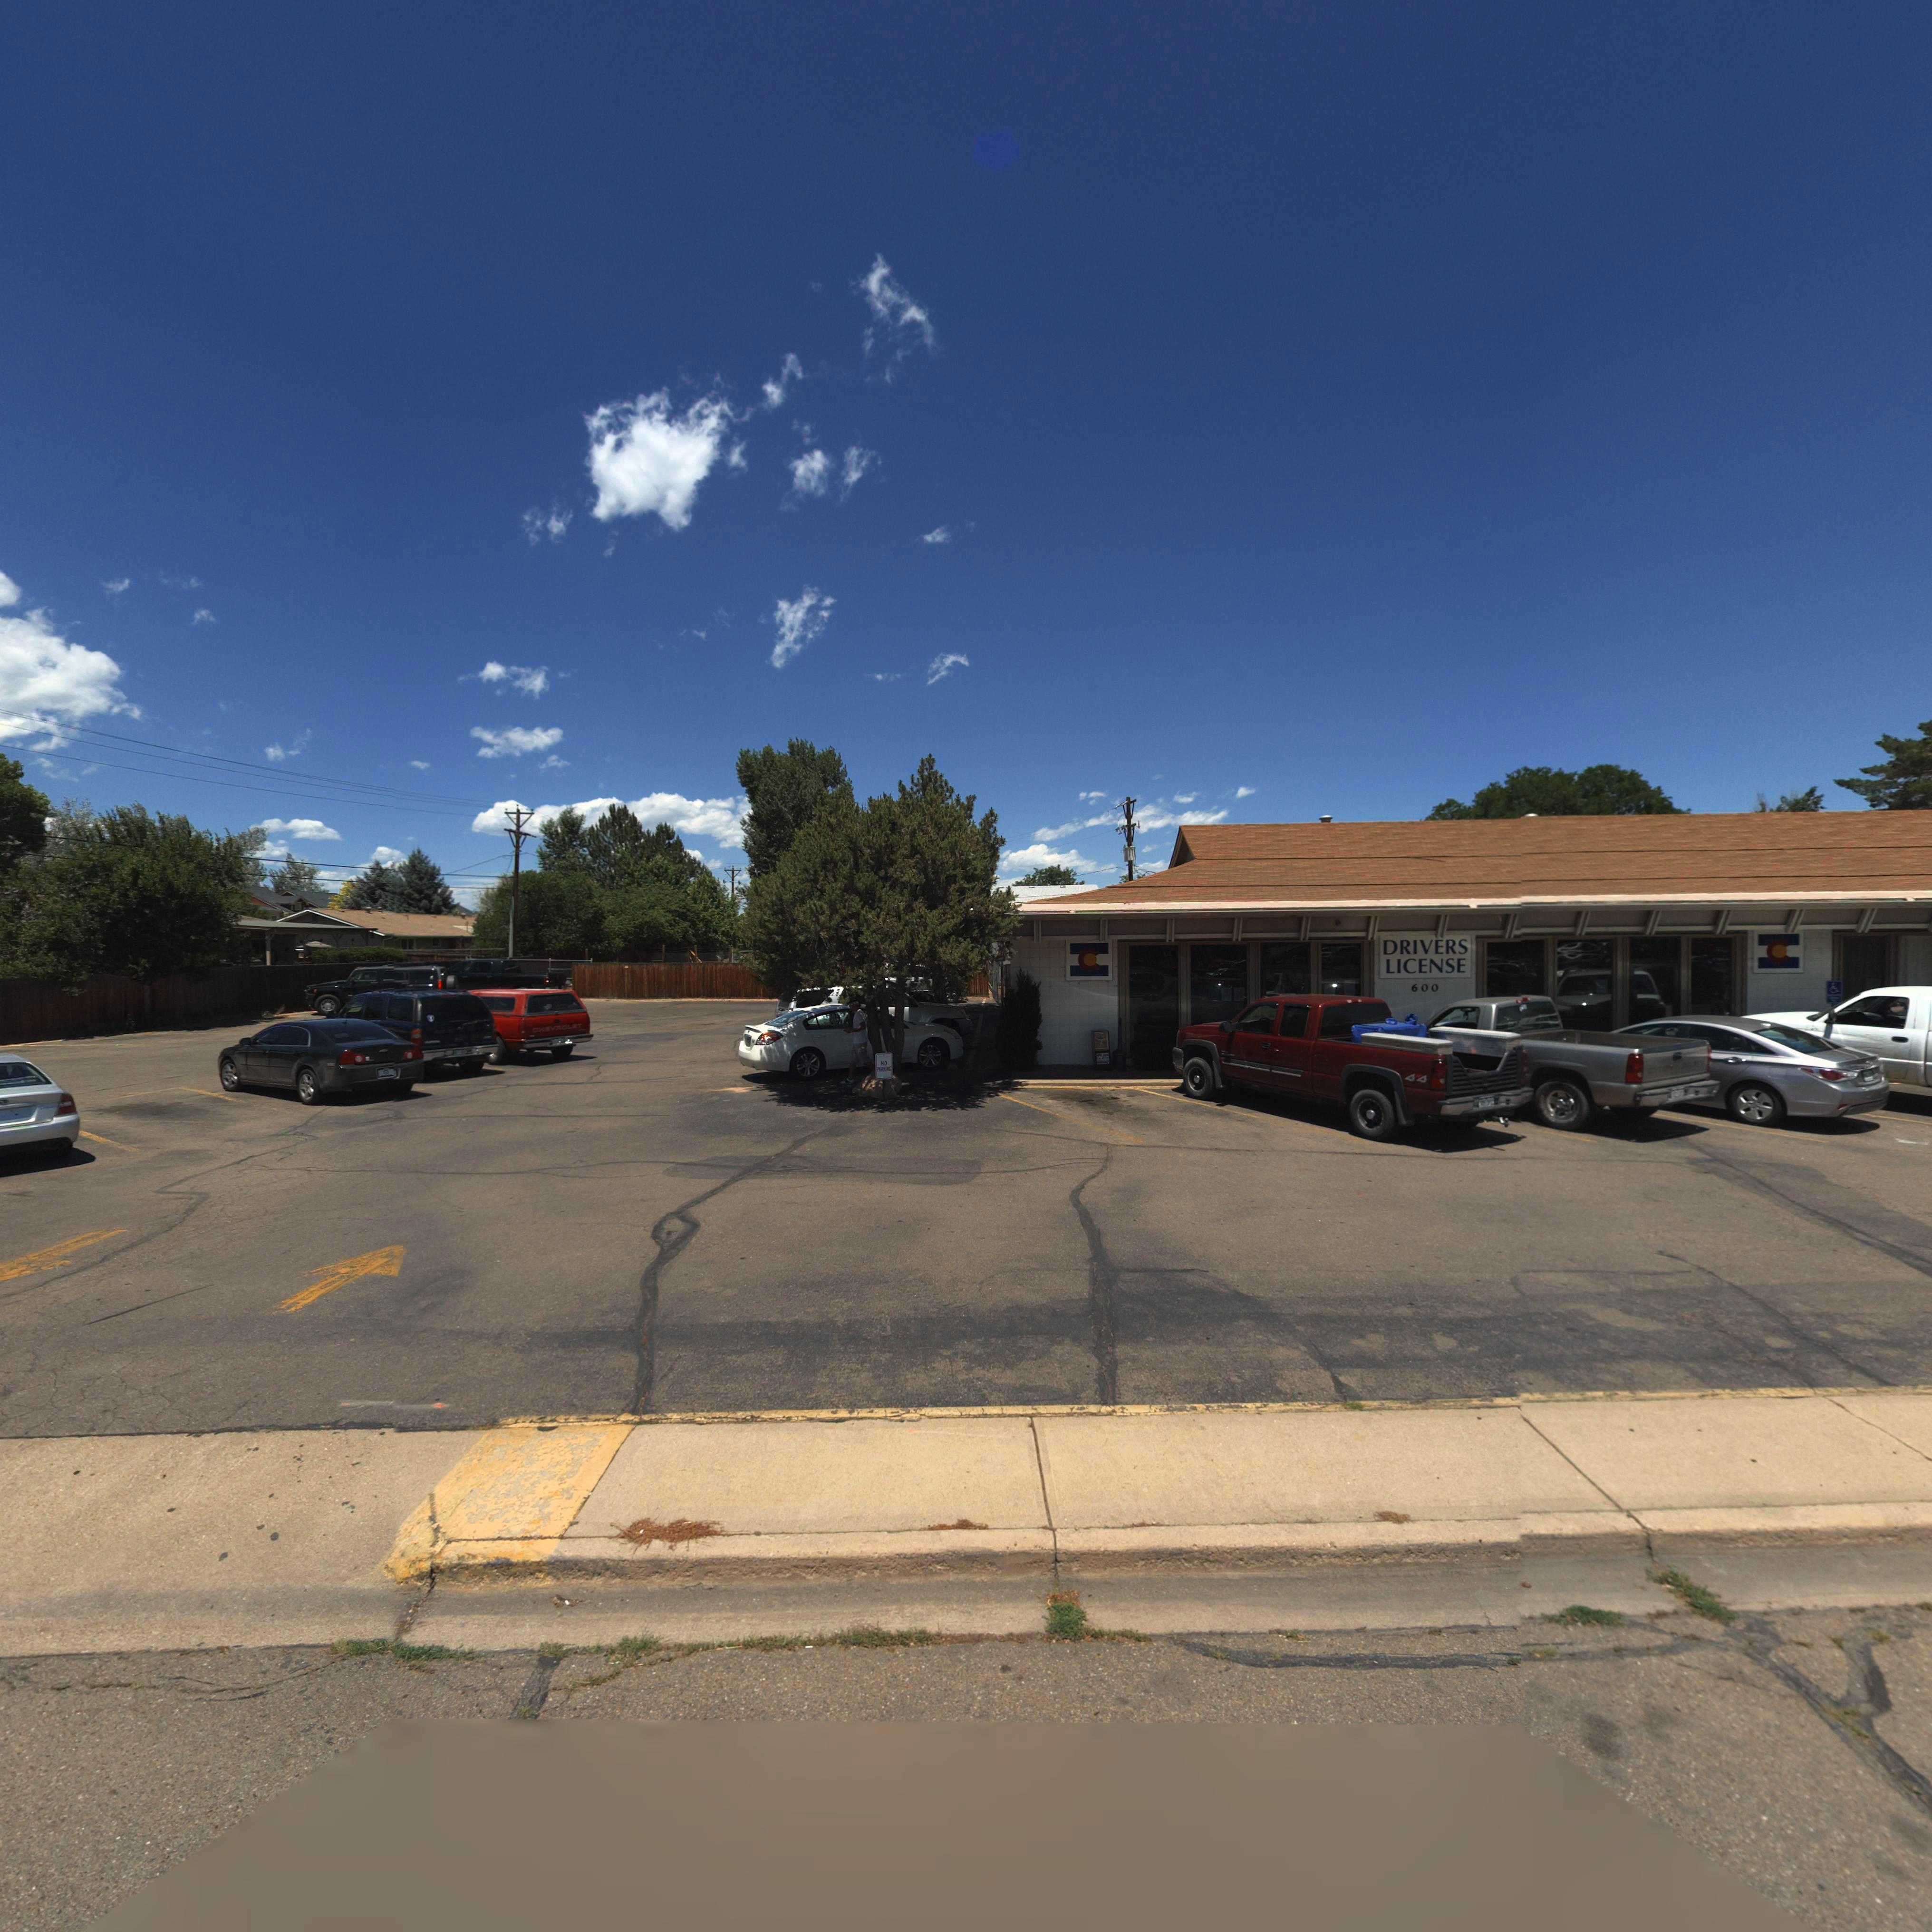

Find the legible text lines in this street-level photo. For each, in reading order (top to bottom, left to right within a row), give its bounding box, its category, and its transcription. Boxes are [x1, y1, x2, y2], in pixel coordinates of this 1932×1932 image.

[1382, 938, 1468, 955] BusinessName: DRIVERS
[1385, 957, 1466, 974] BusinessName: LICENSE
[1410, 983, 1439, 993] StreetNumber: 600